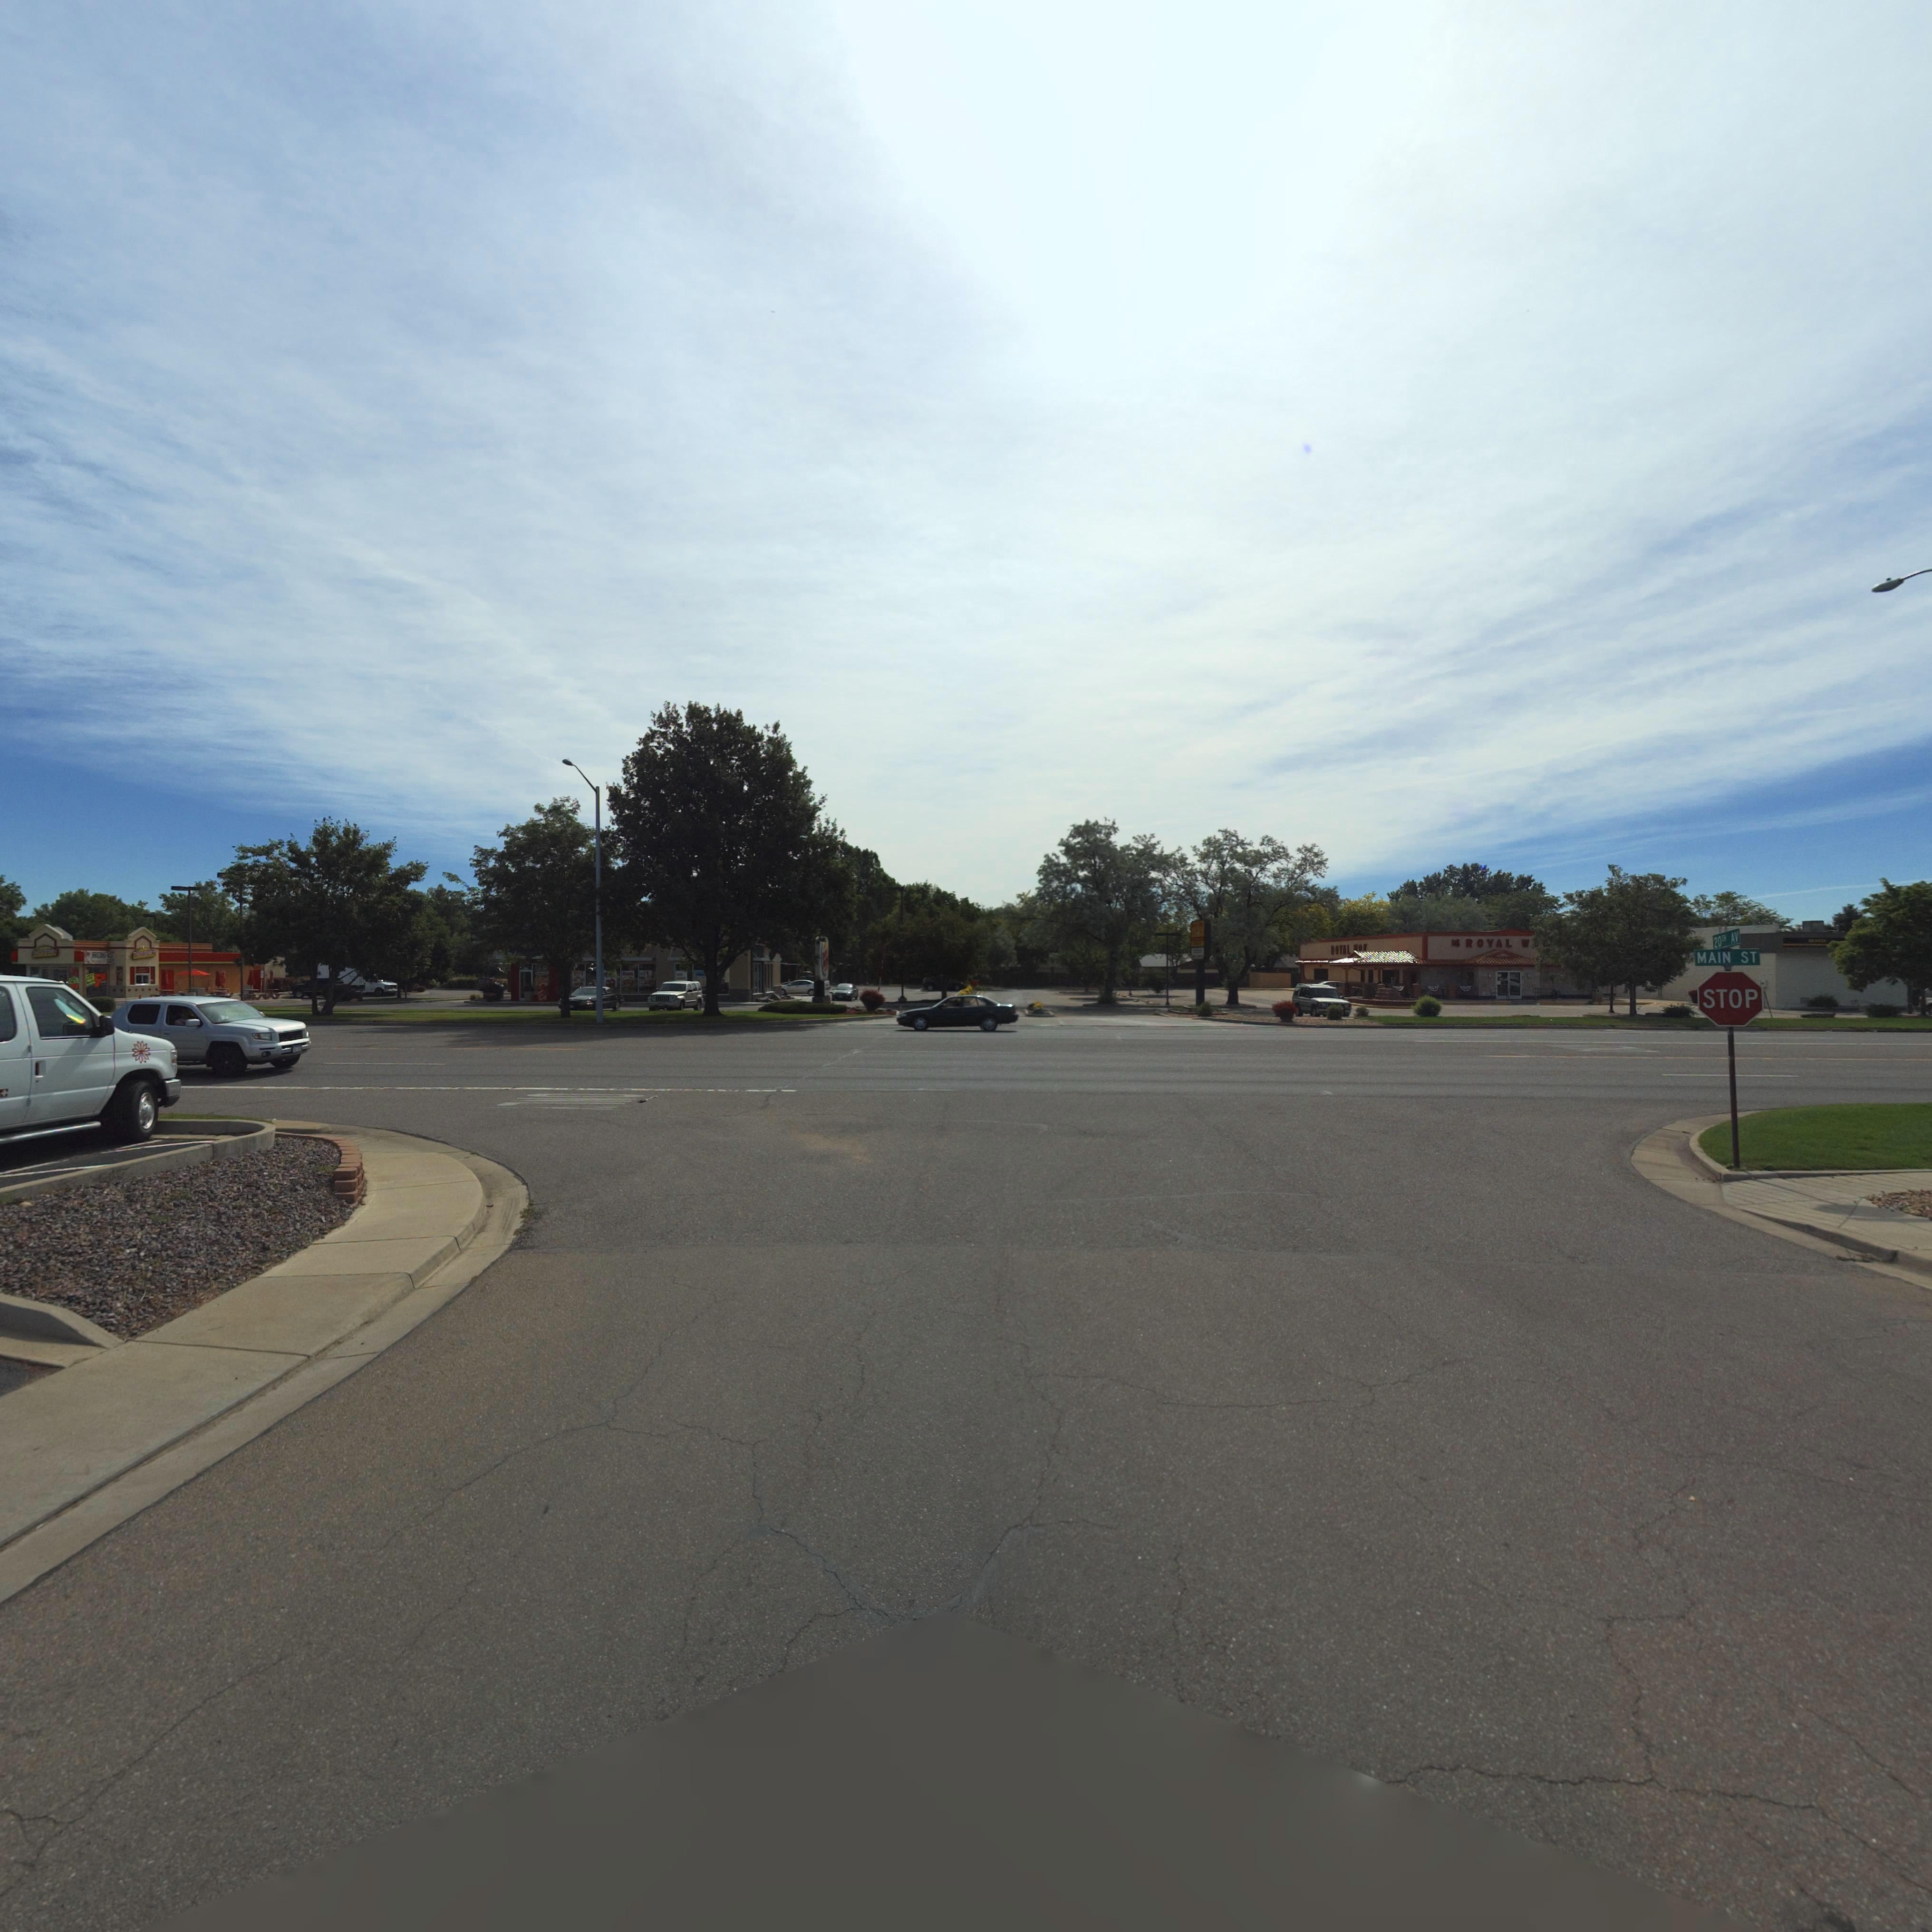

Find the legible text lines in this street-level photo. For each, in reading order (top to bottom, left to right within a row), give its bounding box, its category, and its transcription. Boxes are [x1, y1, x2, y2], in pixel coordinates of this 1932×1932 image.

[1466, 938, 1530, 947] BusinessName: ROYAL *
[1713, 930, 1739, 948] StreetName: 20TH AV
[1331, 944, 1351, 955] BusinessName: *OYAL
[1697, 951, 1757, 963] StreetName: MAIN ST